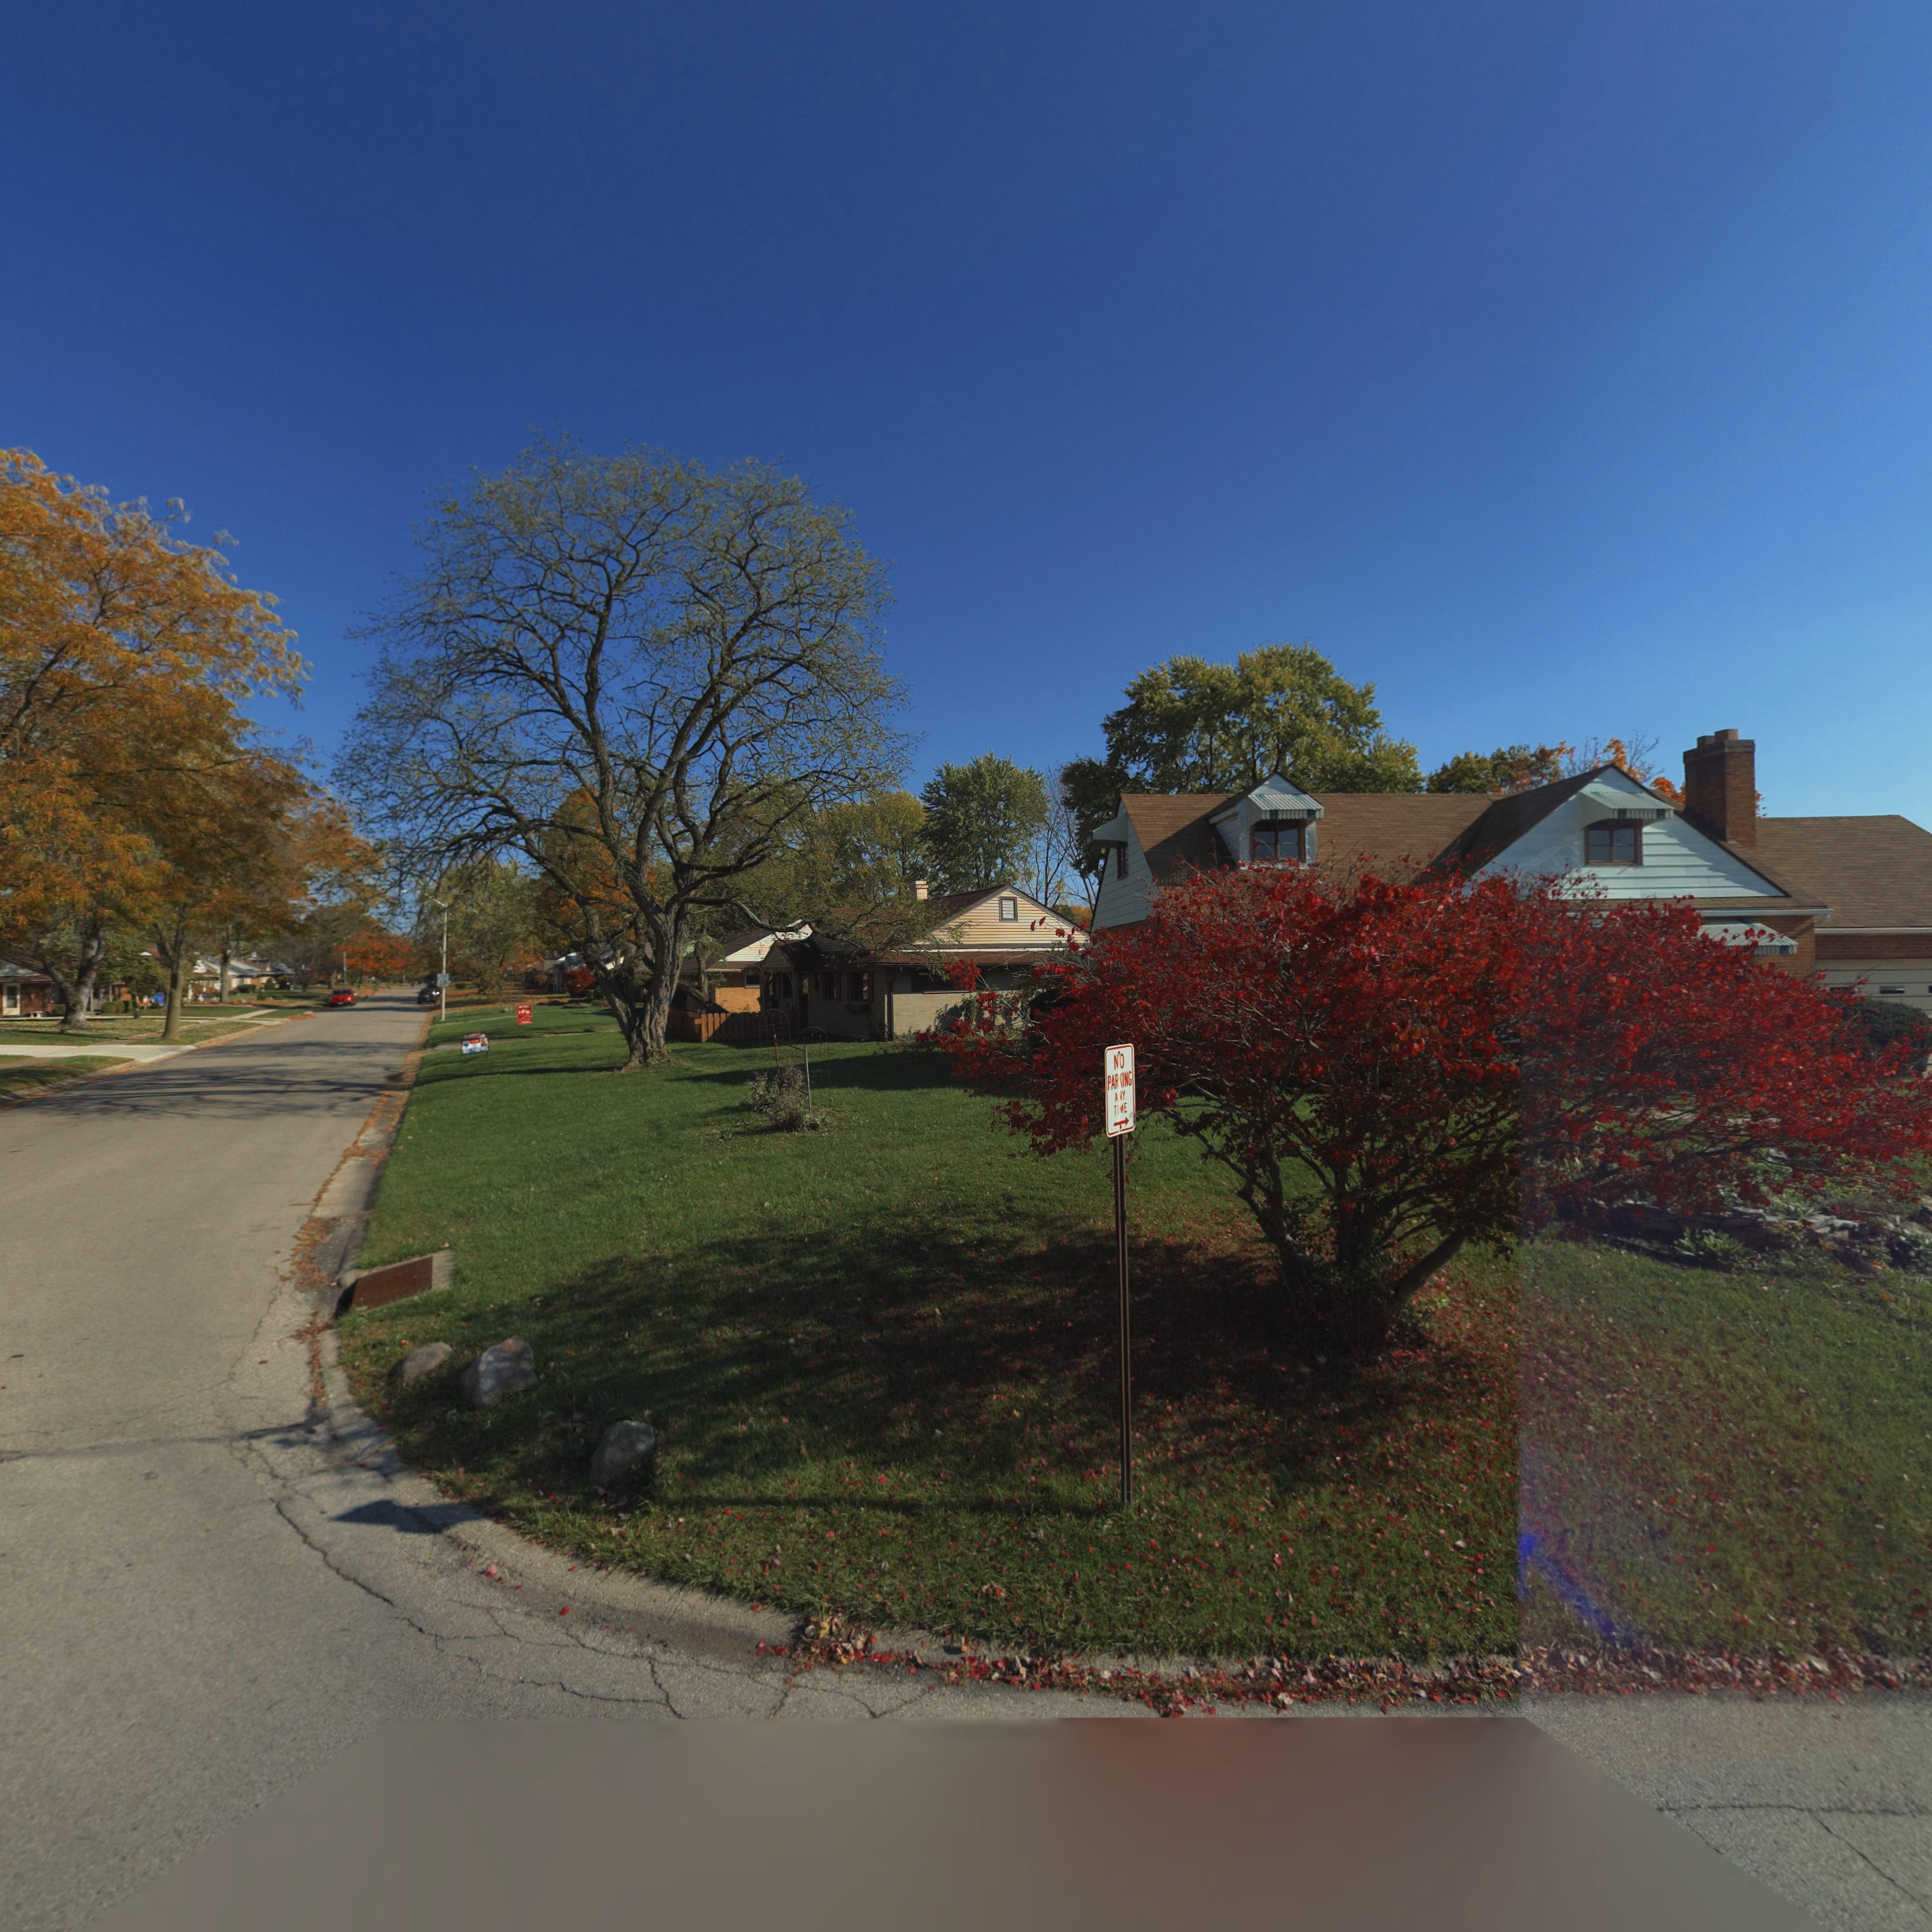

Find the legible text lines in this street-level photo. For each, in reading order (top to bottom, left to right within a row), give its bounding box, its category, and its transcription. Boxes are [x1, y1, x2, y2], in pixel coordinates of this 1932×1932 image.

[438, 979, 448, 985] None: 2*
[1113, 1053, 1125, 1071] None: NO
[1107, 1070, 1132, 1092] None: PAR*ING
[1114, 1089, 1126, 1103] None: A*Y
[1112, 1101, 1127, 1116] None: TIME